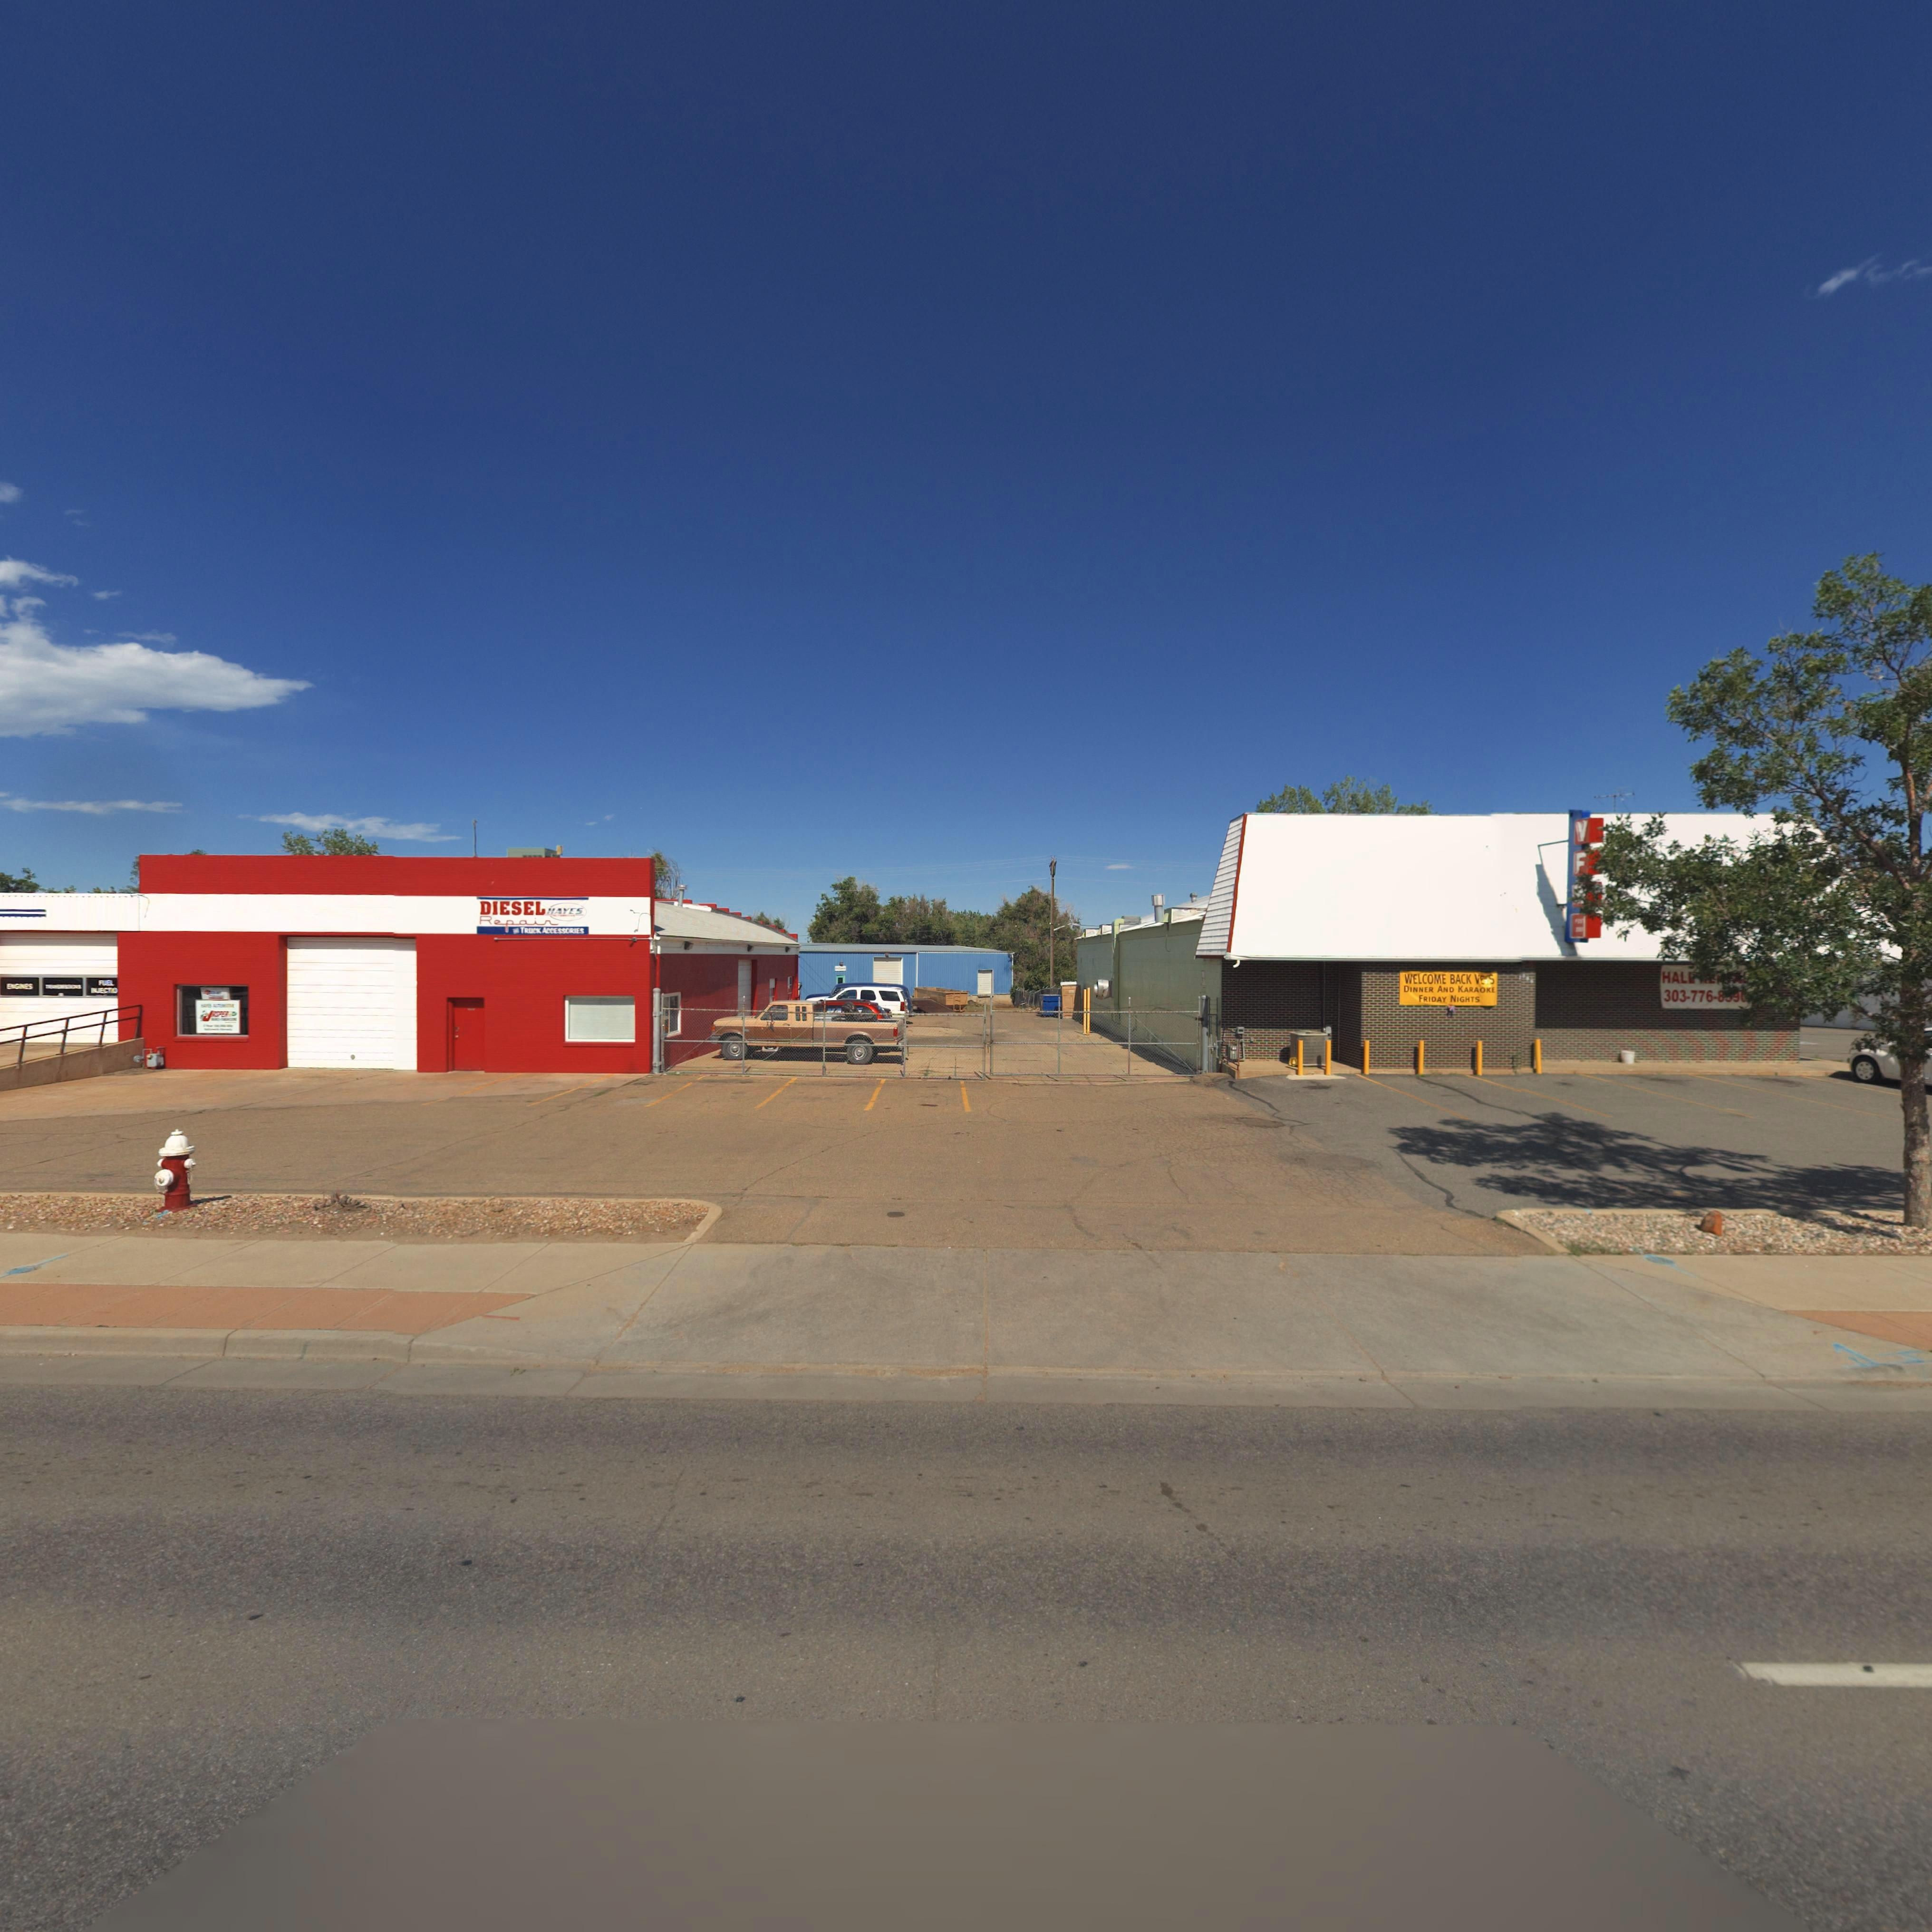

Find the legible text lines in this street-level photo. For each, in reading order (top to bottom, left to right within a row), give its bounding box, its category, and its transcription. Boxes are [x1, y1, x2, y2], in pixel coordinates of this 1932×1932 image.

[546, 907, 584, 914] BusinessName: HAYES
[1570, 819, 1589, 937] BusinessName: VF*E